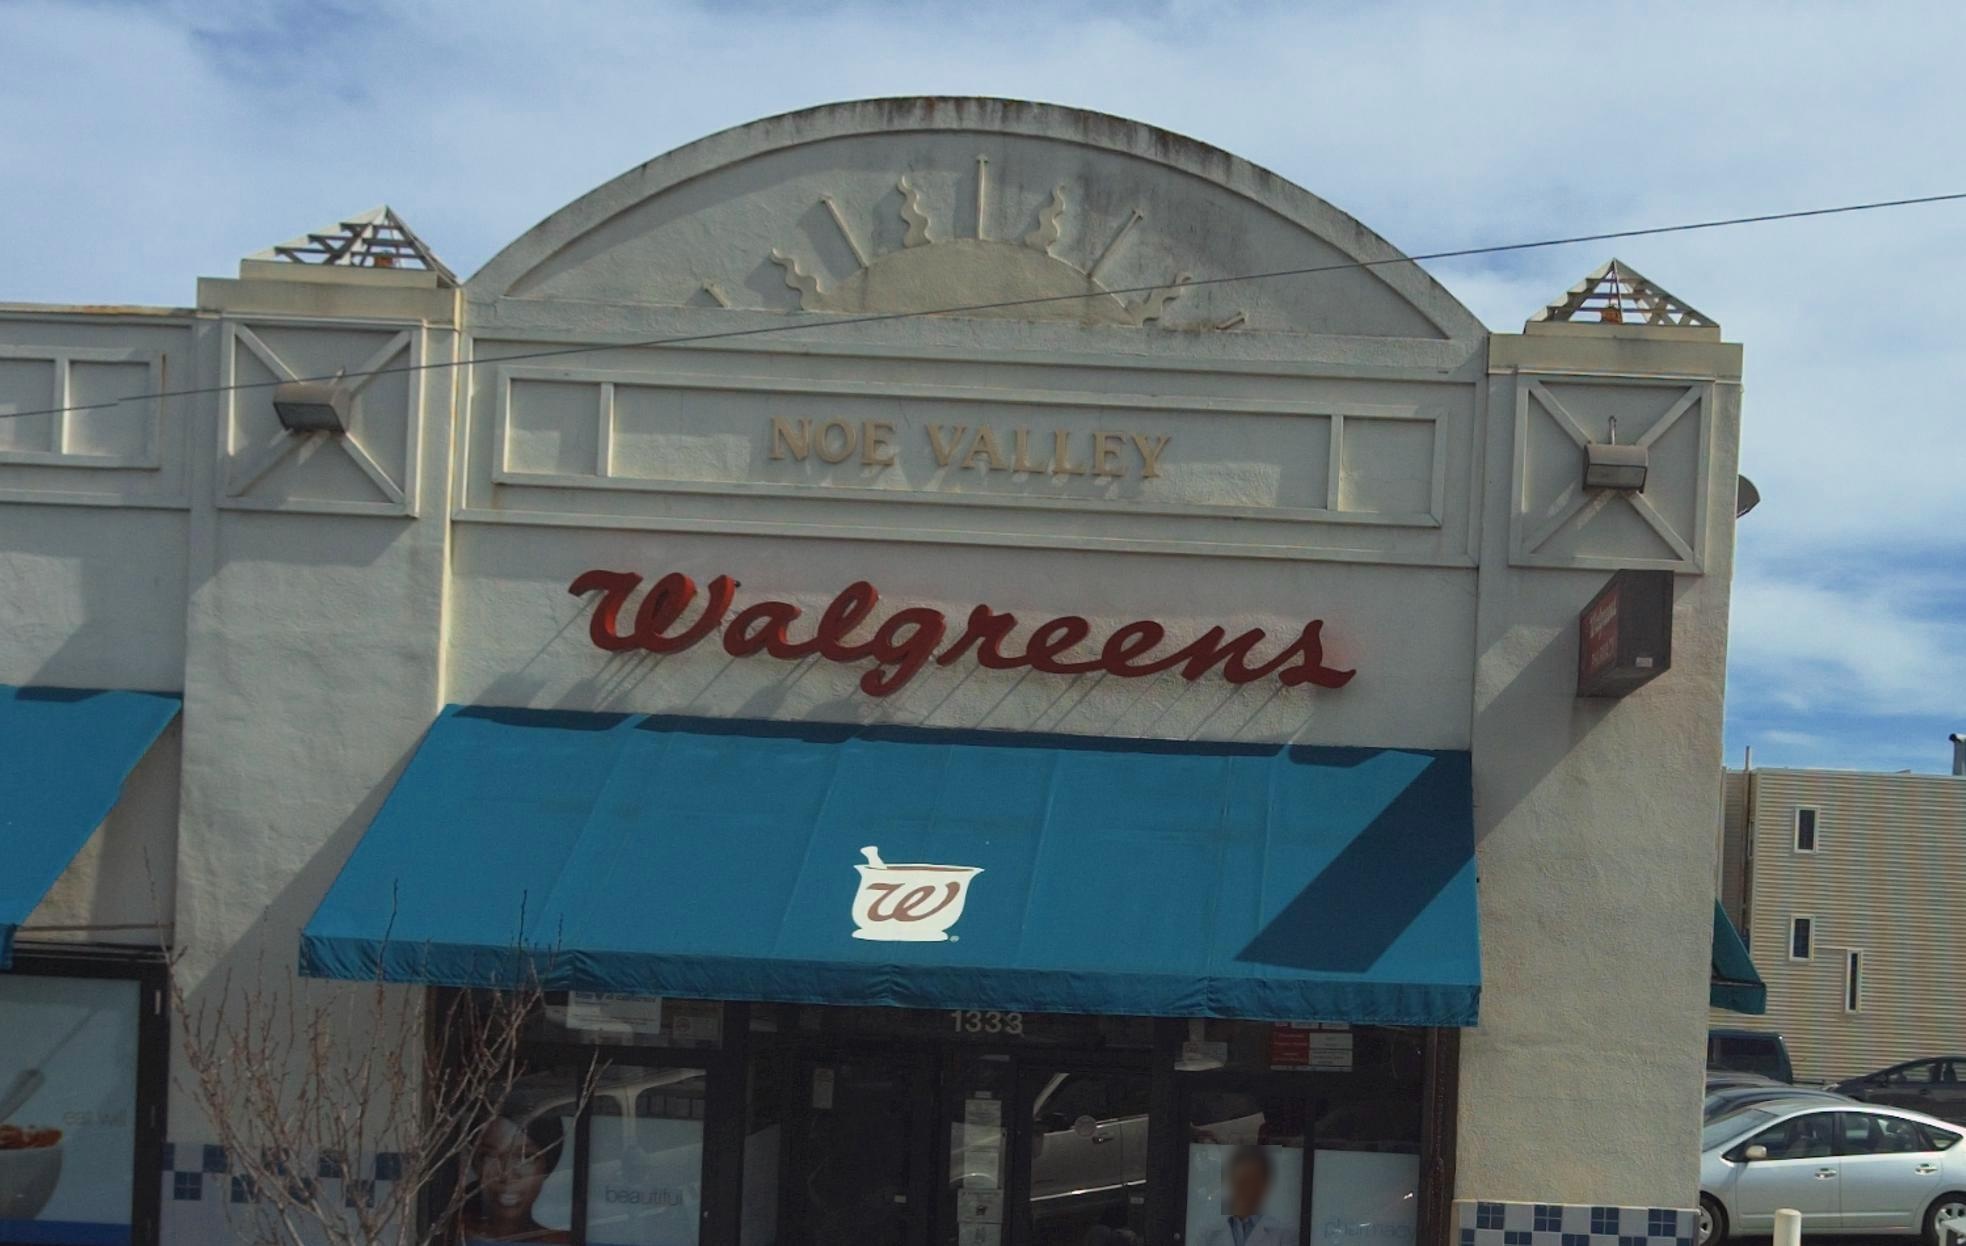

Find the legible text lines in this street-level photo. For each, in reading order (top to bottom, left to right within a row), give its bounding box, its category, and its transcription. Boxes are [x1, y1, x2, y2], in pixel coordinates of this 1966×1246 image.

[762, 413, 1180, 479] None: NOE VALLEY
[567, 568, 1359, 699] BusinessName: Walgreens
[864, 880, 961, 923] None: W
[949, 1009, 1025, 1035] StreetNumber: 1333
[61, 1107, 130, 1130] None: eat w*ll
[603, 1183, 686, 1207] None: beautiful